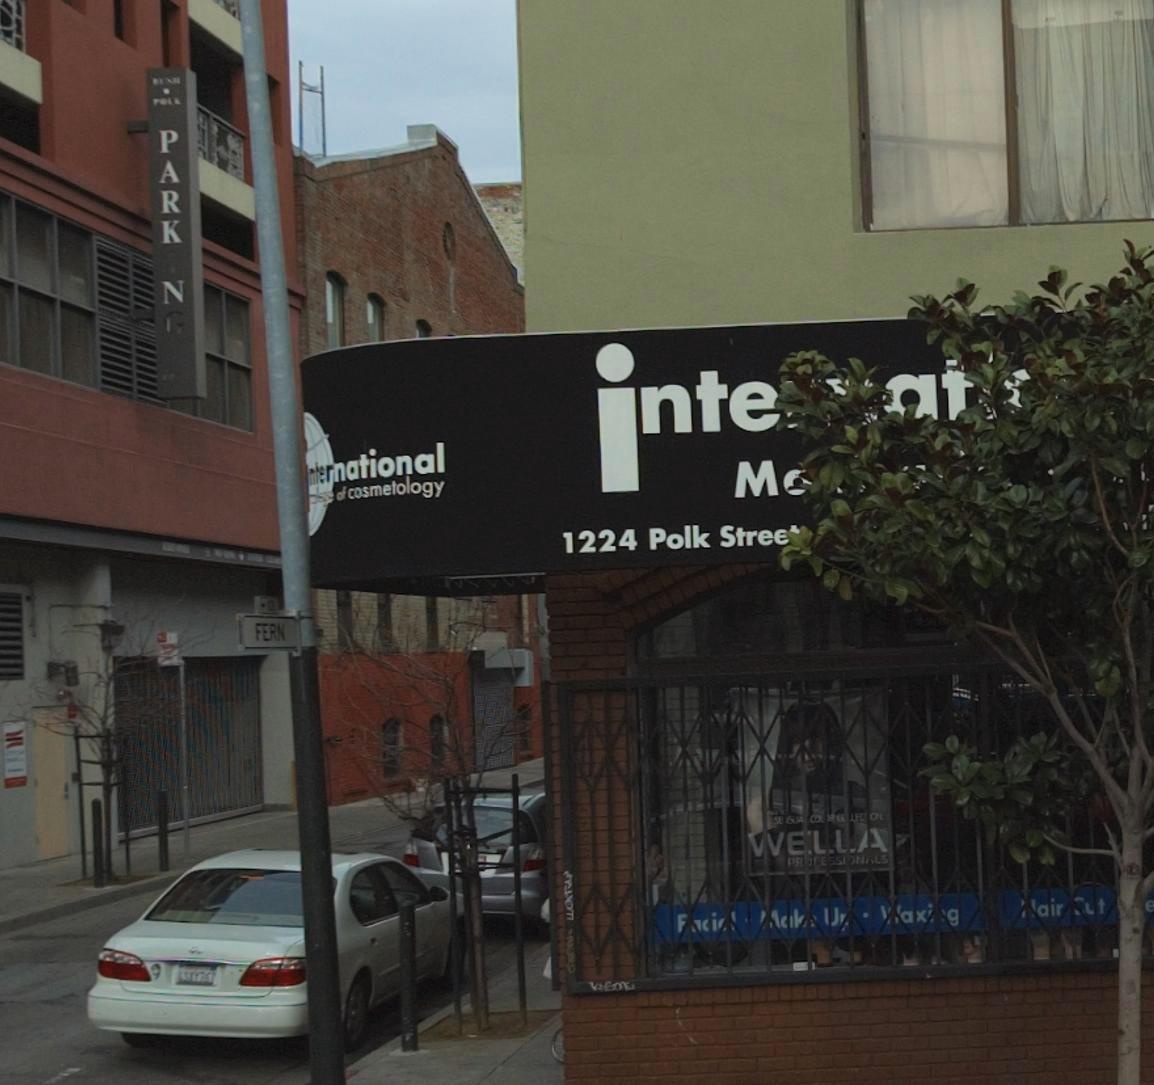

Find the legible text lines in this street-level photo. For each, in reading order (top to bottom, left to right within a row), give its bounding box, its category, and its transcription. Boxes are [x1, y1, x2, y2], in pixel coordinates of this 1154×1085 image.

[156, 124, 190, 309] None: PARK*N
[594, 340, 783, 495] BusinessName: inte
[308, 441, 446, 486] BusinessName: nternational
[335, 475, 447, 502] BusinessName: of cosmetology
[734, 459, 780, 499] BusinessName: M
[562, 527, 639, 555] StreetNumber: 1224
[648, 524, 801, 551] StreetName: Polk Stree*
[259, 598, 278, 613] StreetNumberRange: <-****
[254, 621, 287, 643] StreetName: FERN
[746, 827, 890, 859] None: *ELL*
[786, 854, 890, 868] None: PR*FESSI*N*LS